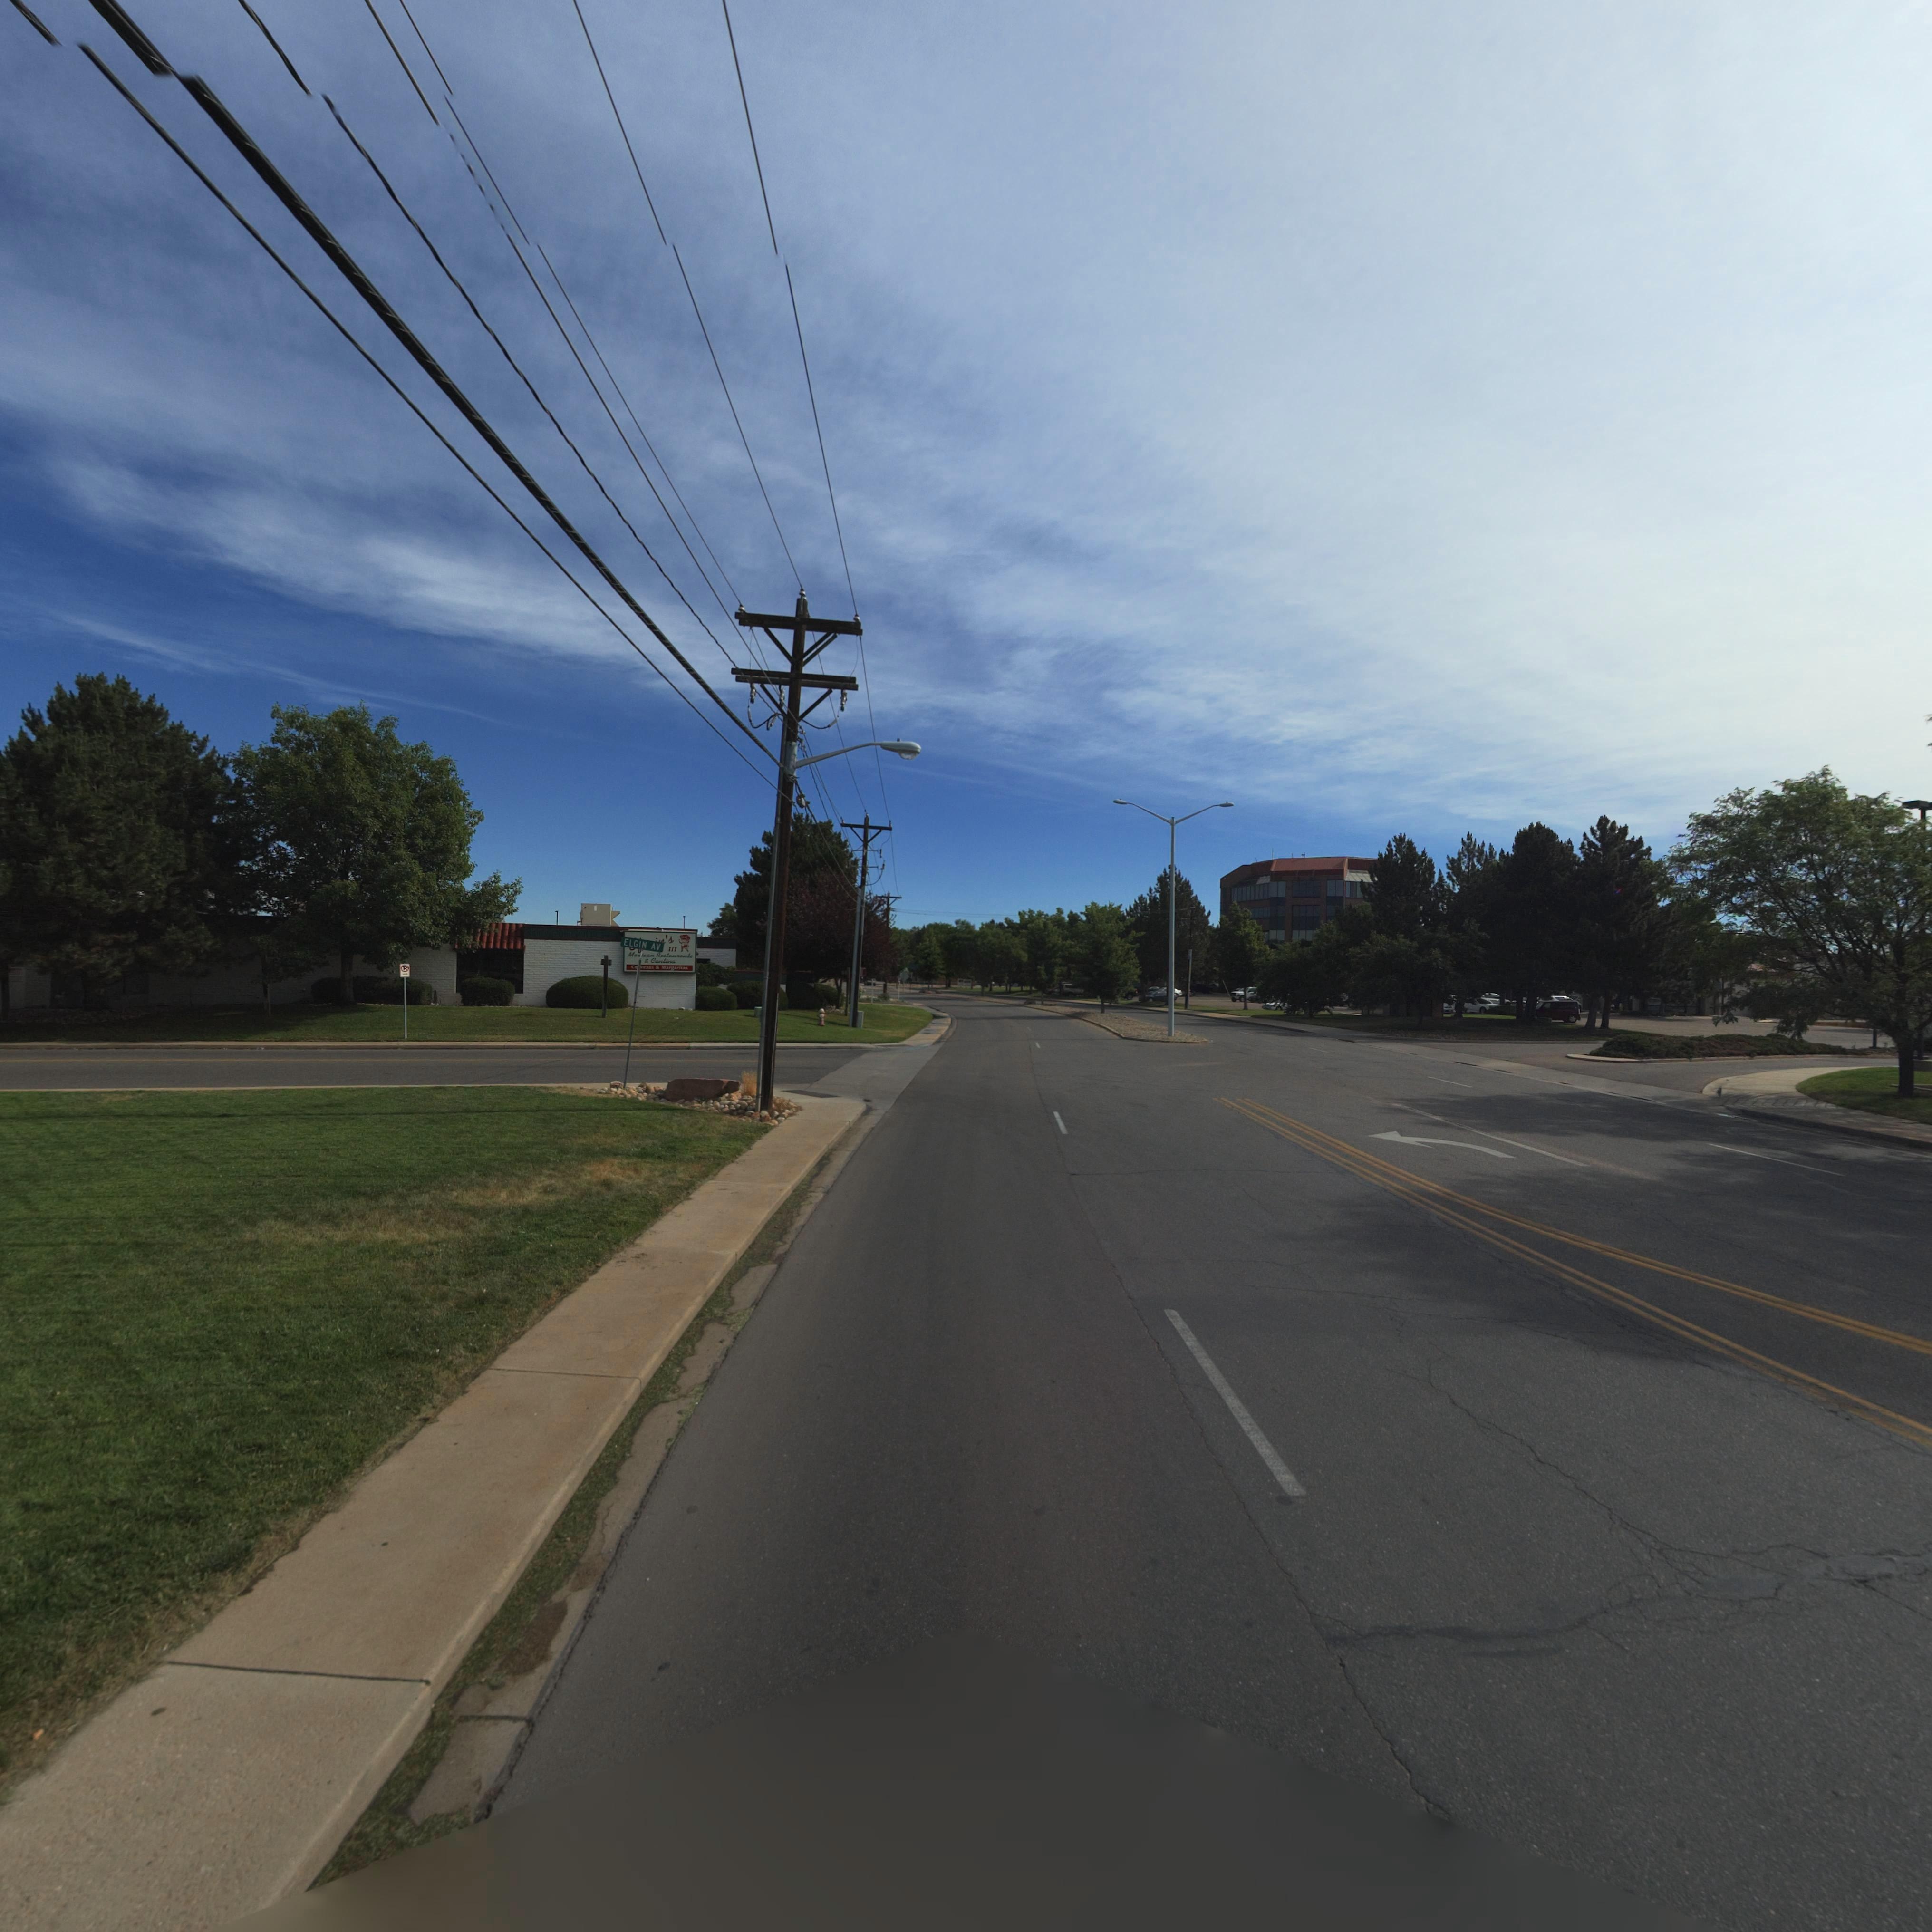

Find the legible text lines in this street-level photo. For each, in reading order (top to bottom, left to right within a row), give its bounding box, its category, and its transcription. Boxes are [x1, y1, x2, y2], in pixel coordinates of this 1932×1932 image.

[665, 934, 675, 944] BusinessName: 's
[623, 938, 662, 951] StreetName: ELGIN AV
[668, 946, 677, 952] BusinessName: III